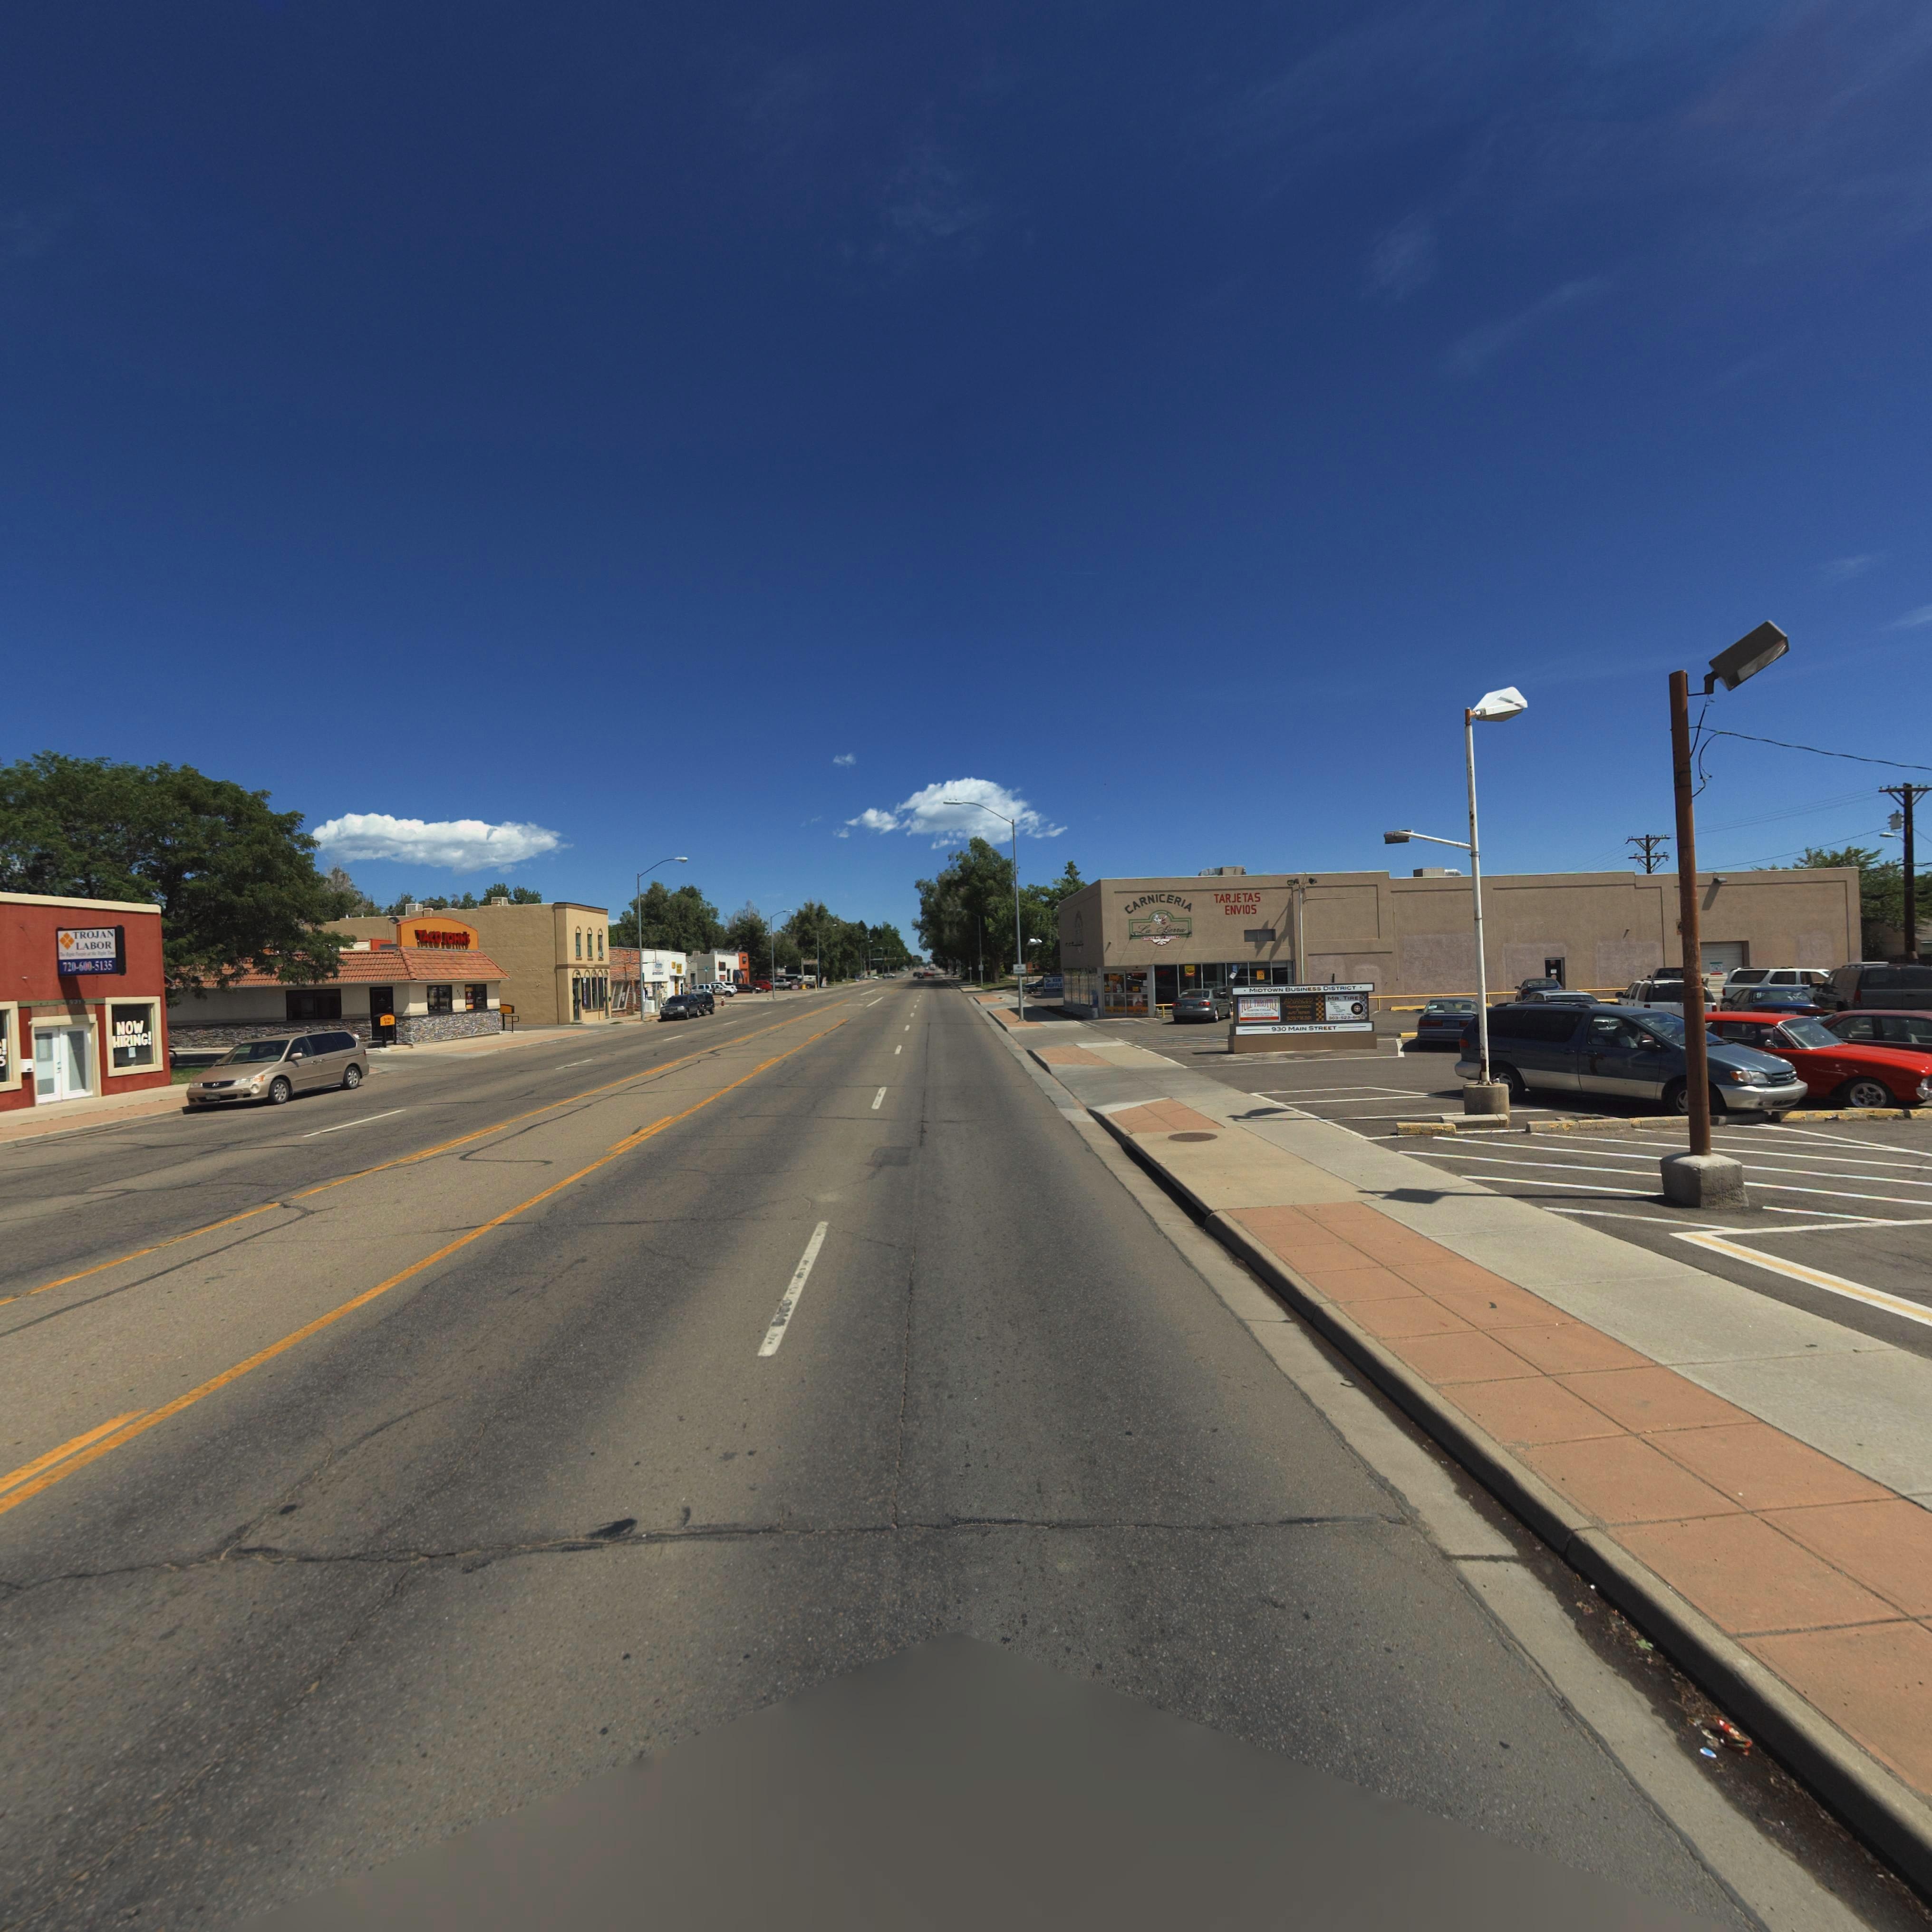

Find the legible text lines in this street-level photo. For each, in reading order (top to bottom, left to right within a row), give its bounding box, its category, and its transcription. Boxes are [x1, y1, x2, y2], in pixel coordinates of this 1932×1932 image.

[1132, 924, 1187, 934] BusinessName: La Sierra
[72, 929, 115, 940] BusinessName: TROJAN
[416, 929, 470, 945] BusinessName: TACO JOHN'S
[75, 940, 111, 951] BusinessName: LABOR
[1052, 977, 1061, 982] BusinessName: KEN
[1045, 983, 1062, 987] BusinessName: MUFFLE
[69, 999, 81, 1005] StreetNumber: 931
[1283, 997, 1313, 1003] BusinessName: ADVANCED
[1327, 995, 1363, 1001] BusinessName: MR. TIRES
[1241, 998, 1277, 1013] BusinessName: FULL THROTTLE
[1271, 1026, 1286, 1032] StreetNumber: 930
[1287, 1025, 1337, 1031] StreetName: MAIN STREET